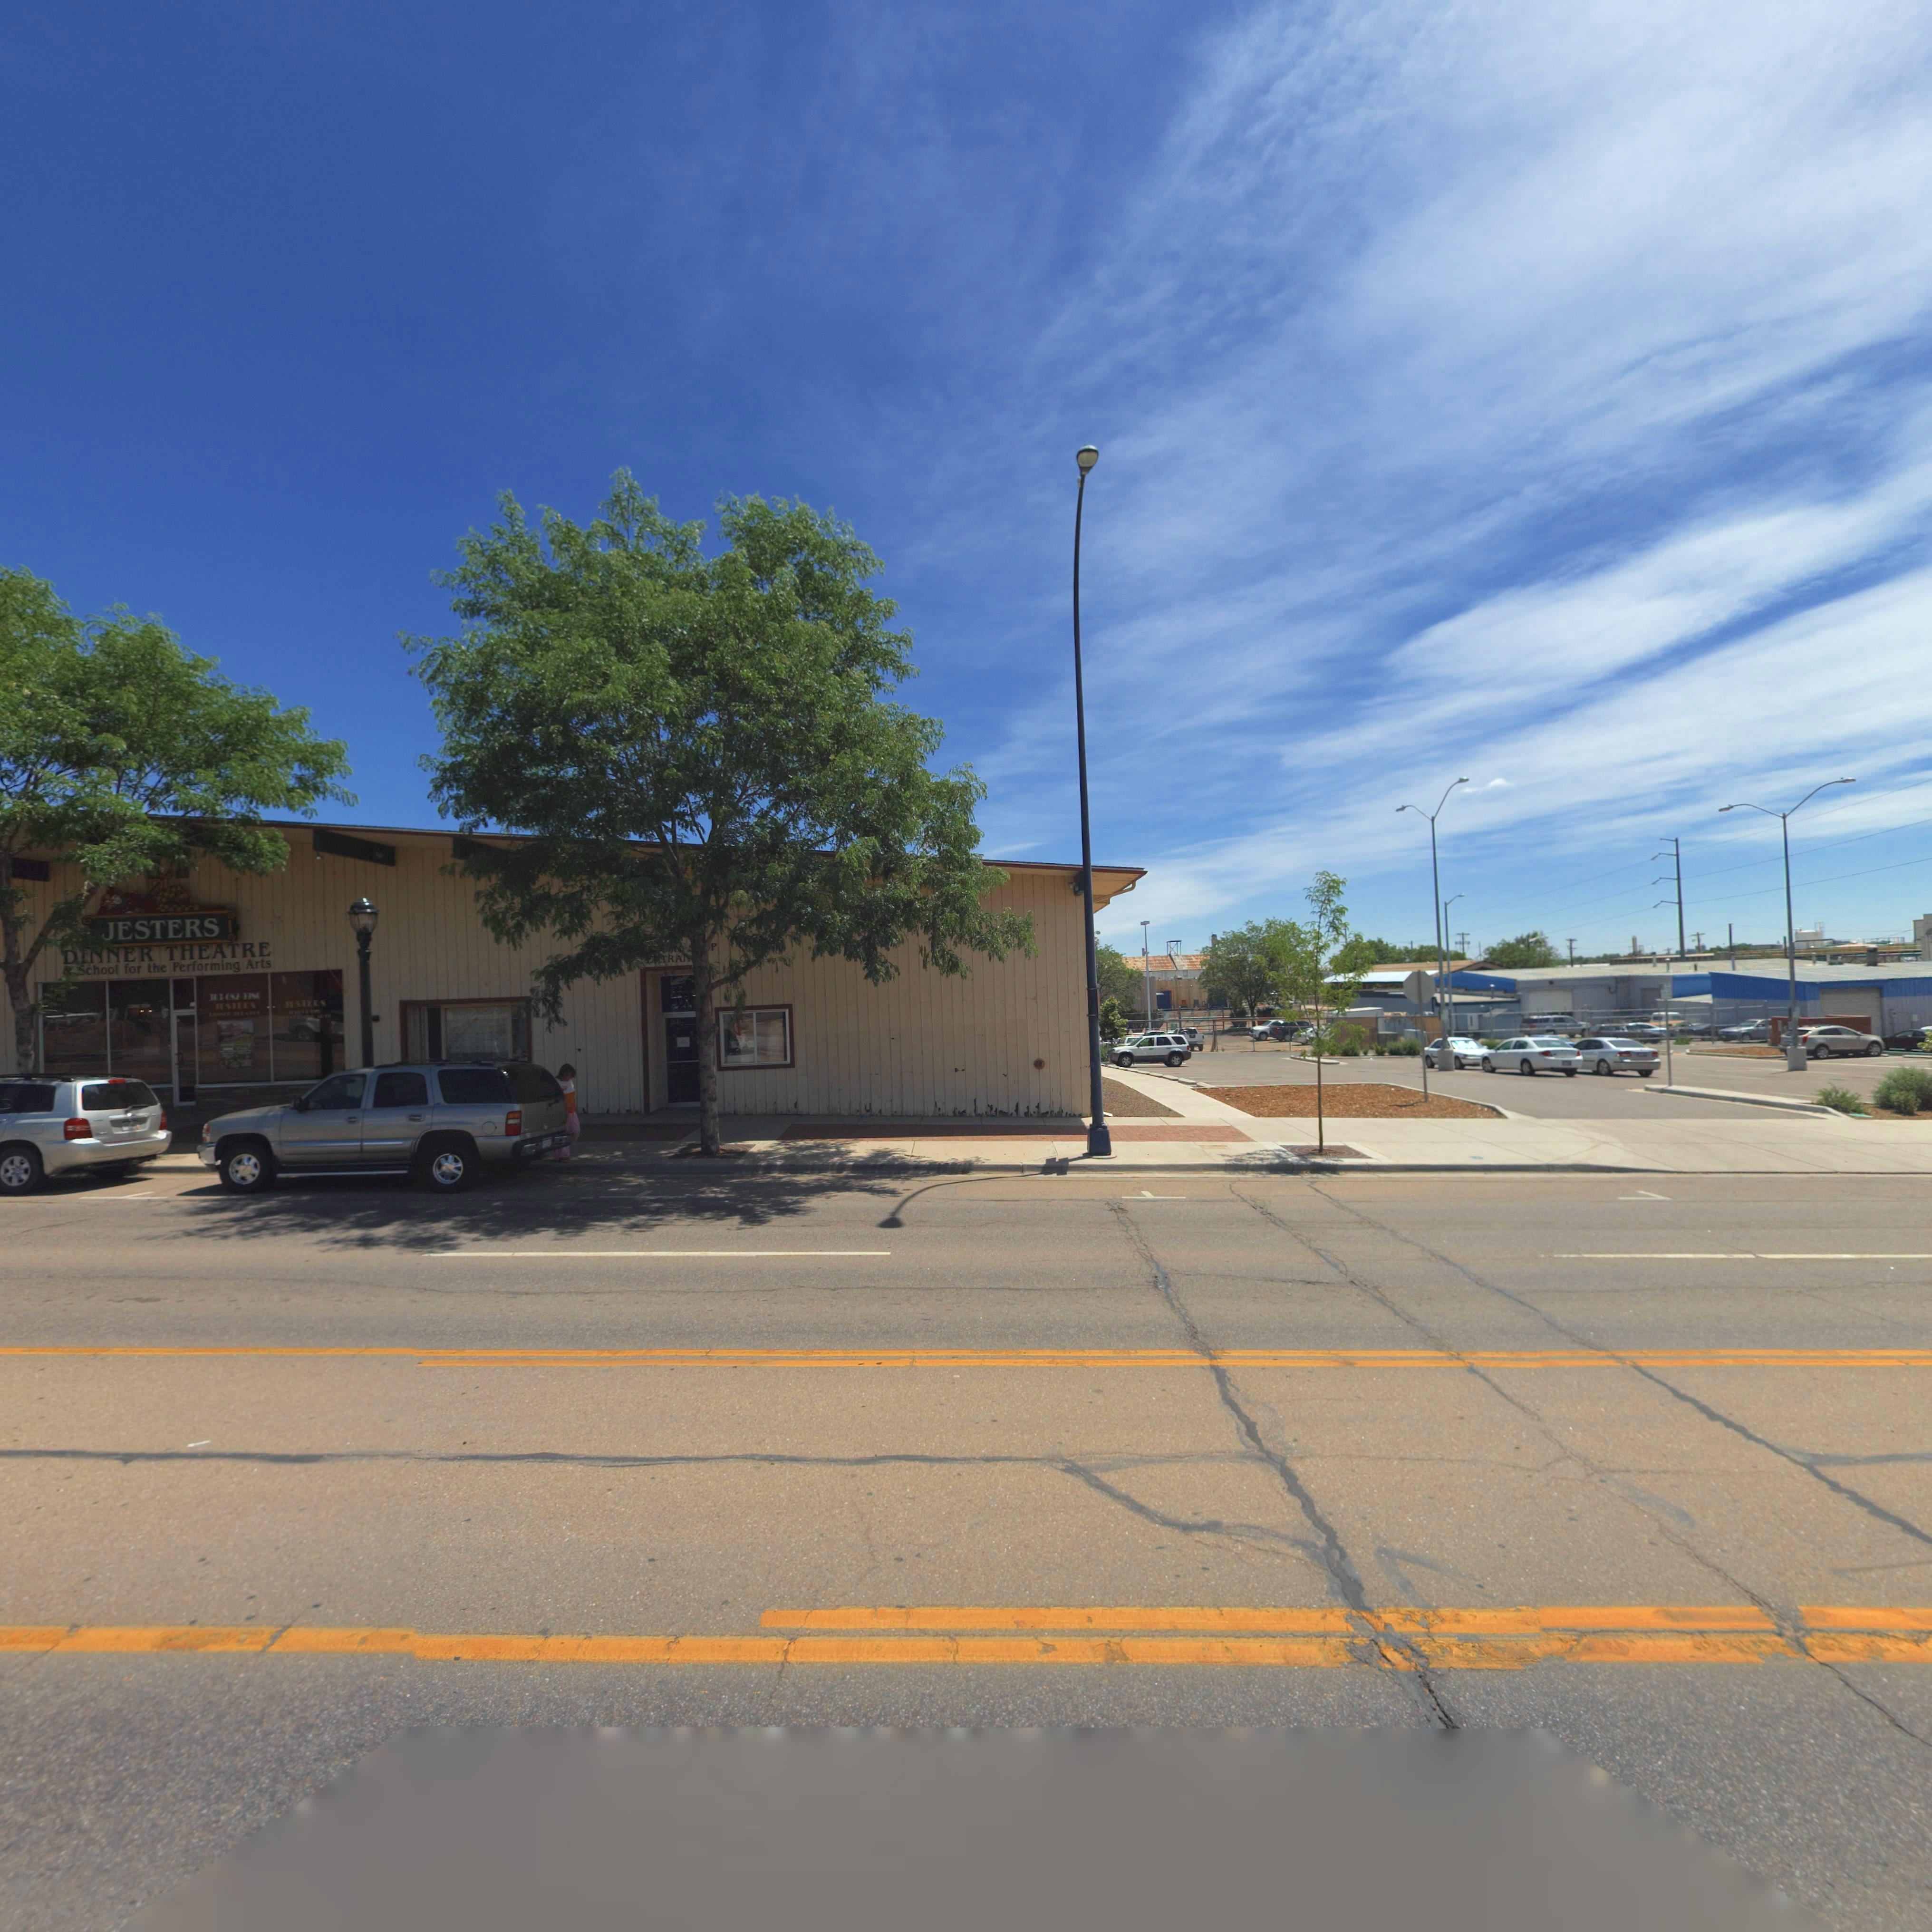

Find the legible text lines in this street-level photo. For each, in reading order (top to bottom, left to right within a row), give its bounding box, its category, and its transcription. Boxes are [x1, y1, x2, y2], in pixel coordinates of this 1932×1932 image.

[100, 917, 220, 941] BusinessName: JESTERS
[63, 941, 272, 964] BusinessName: DINNER THEATRE
[61, 958, 272, 976] BusinessName: & School for the Performing Arts